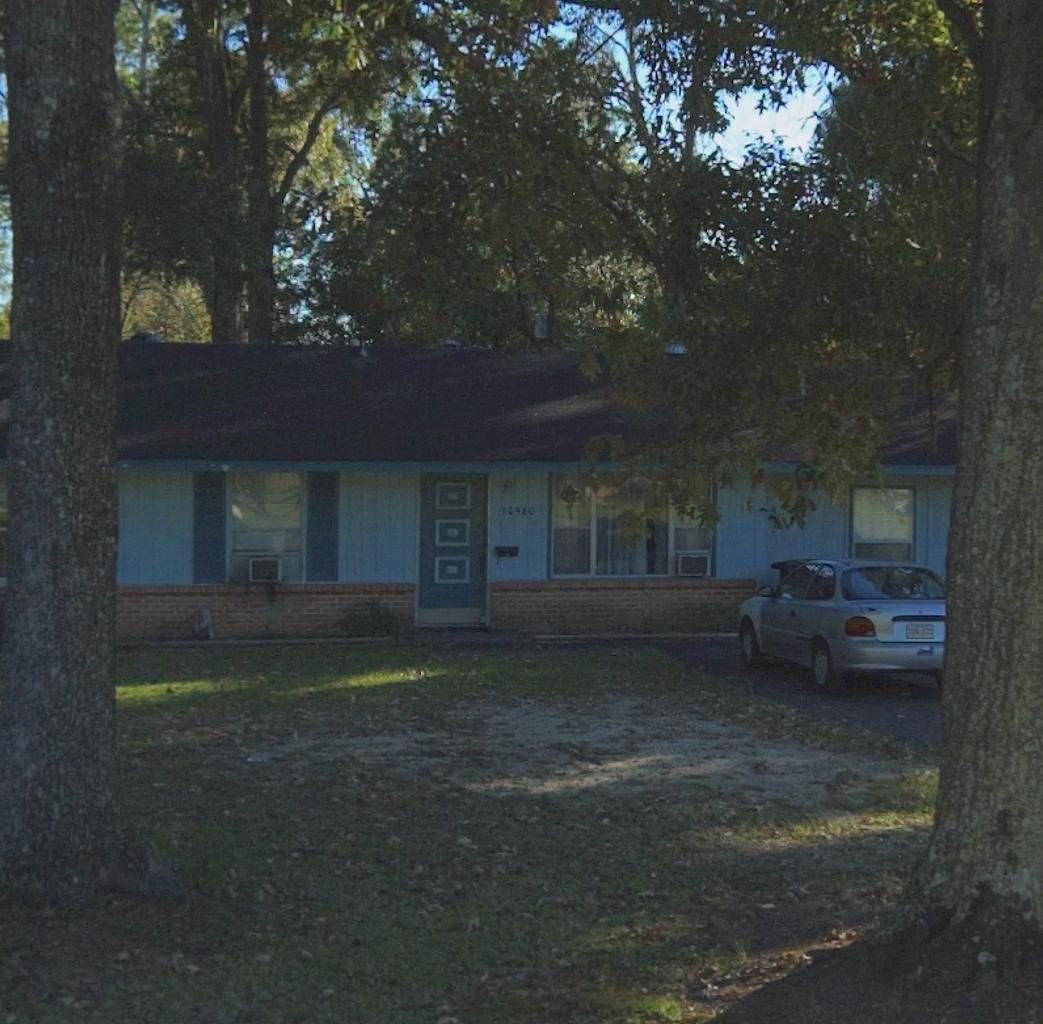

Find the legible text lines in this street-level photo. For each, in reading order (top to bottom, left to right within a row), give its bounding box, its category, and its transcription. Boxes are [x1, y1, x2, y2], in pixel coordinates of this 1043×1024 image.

[501, 505, 536, 517] StreetNumber: 10960